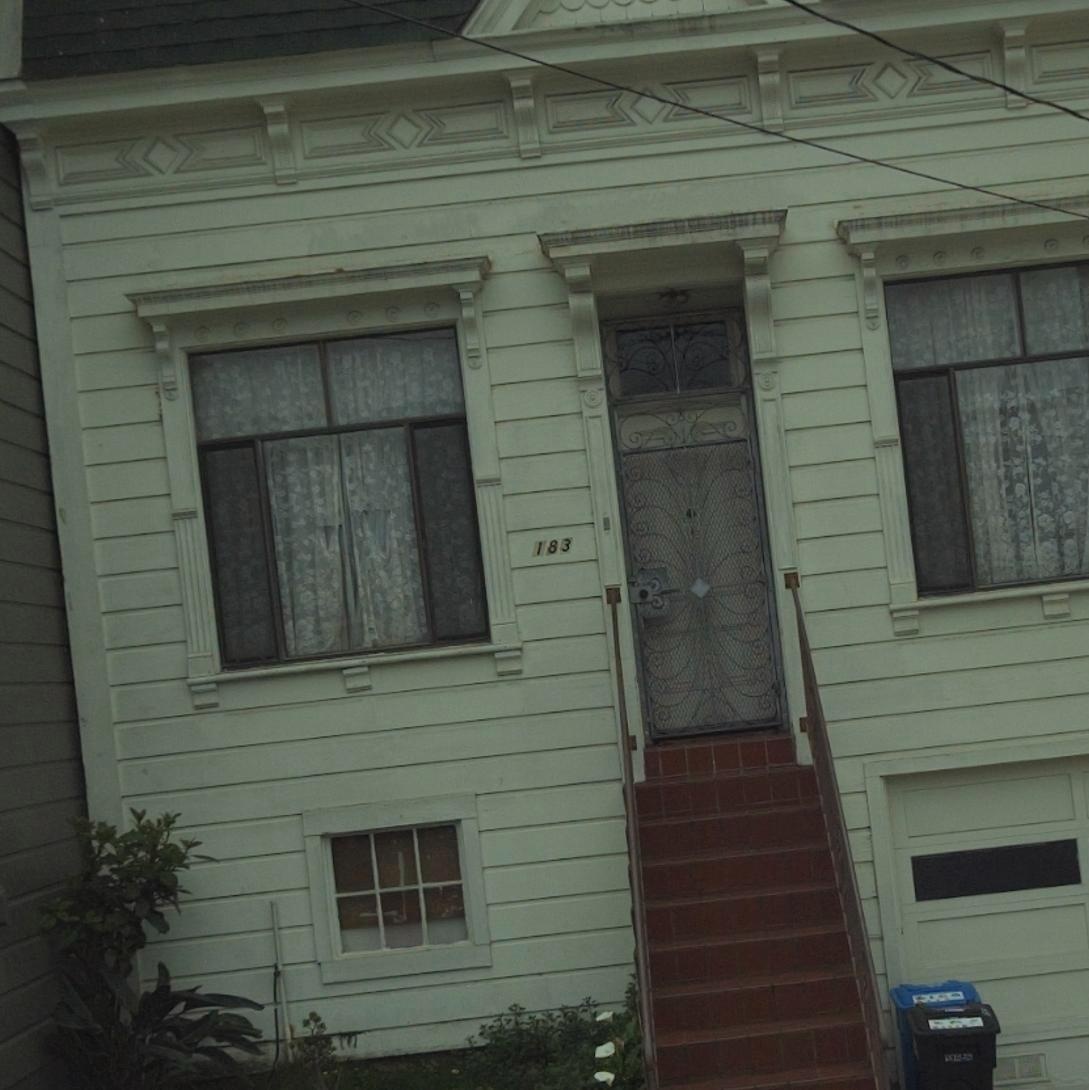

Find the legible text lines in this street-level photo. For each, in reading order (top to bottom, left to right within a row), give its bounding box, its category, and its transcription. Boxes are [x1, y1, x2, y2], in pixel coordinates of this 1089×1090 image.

[532, 537, 574, 558] StreetNumber: 183